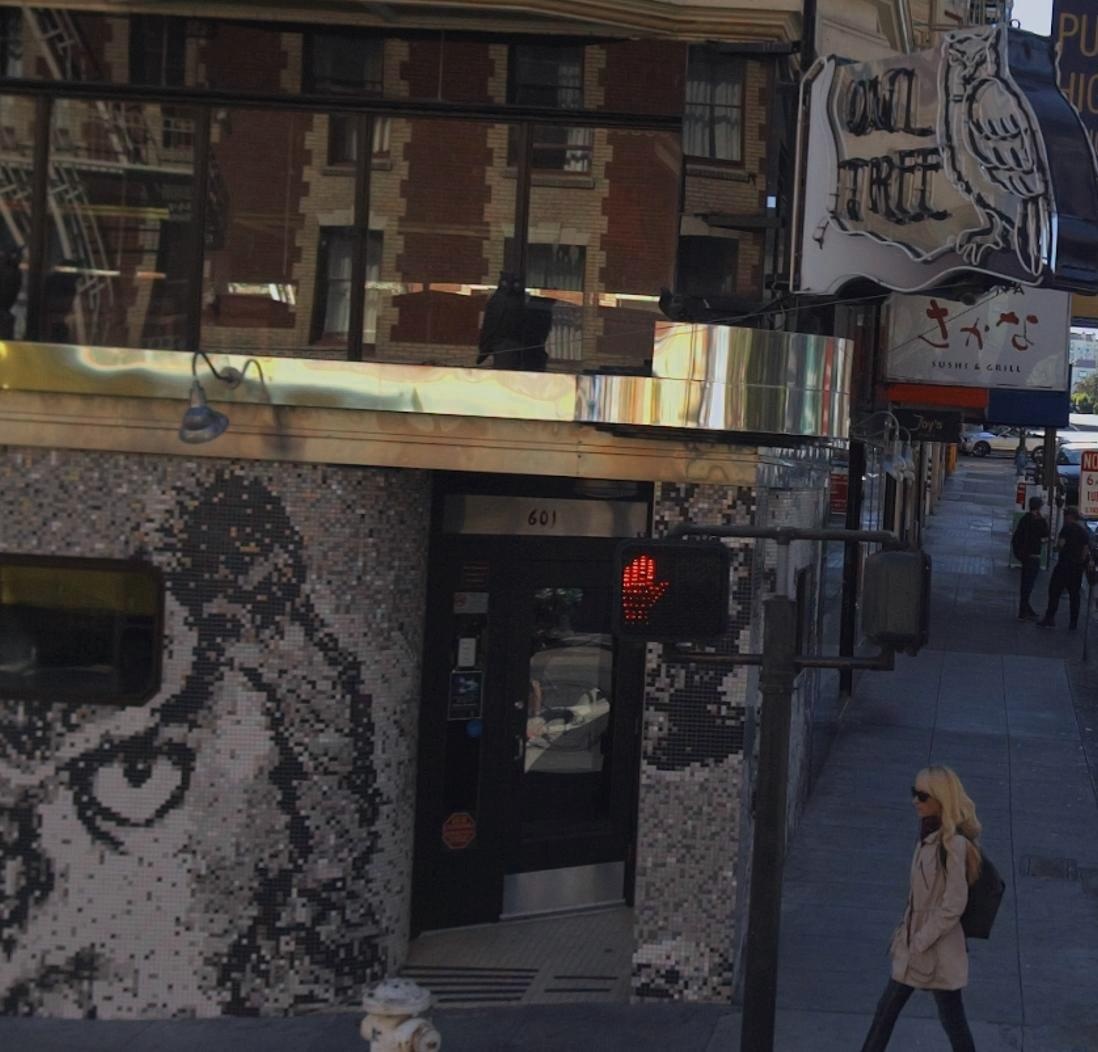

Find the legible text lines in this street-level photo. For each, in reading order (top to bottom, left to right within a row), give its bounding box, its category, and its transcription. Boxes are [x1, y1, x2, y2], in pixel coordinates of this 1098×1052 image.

[1058, 11, 1082, 55] None: P
[844, 63, 937, 138] BusinessName: OWL
[835, 143, 950, 227] BusinessName: TREE
[930, 359, 1022, 375] None: SUSHI & GRILL
[908, 412, 945, 432] BusinessName: Joy's
[1083, 451, 1093, 472] None: N
[1084, 472, 1095, 488] None: 6
[527, 507, 557, 529] StreetNumber: 601